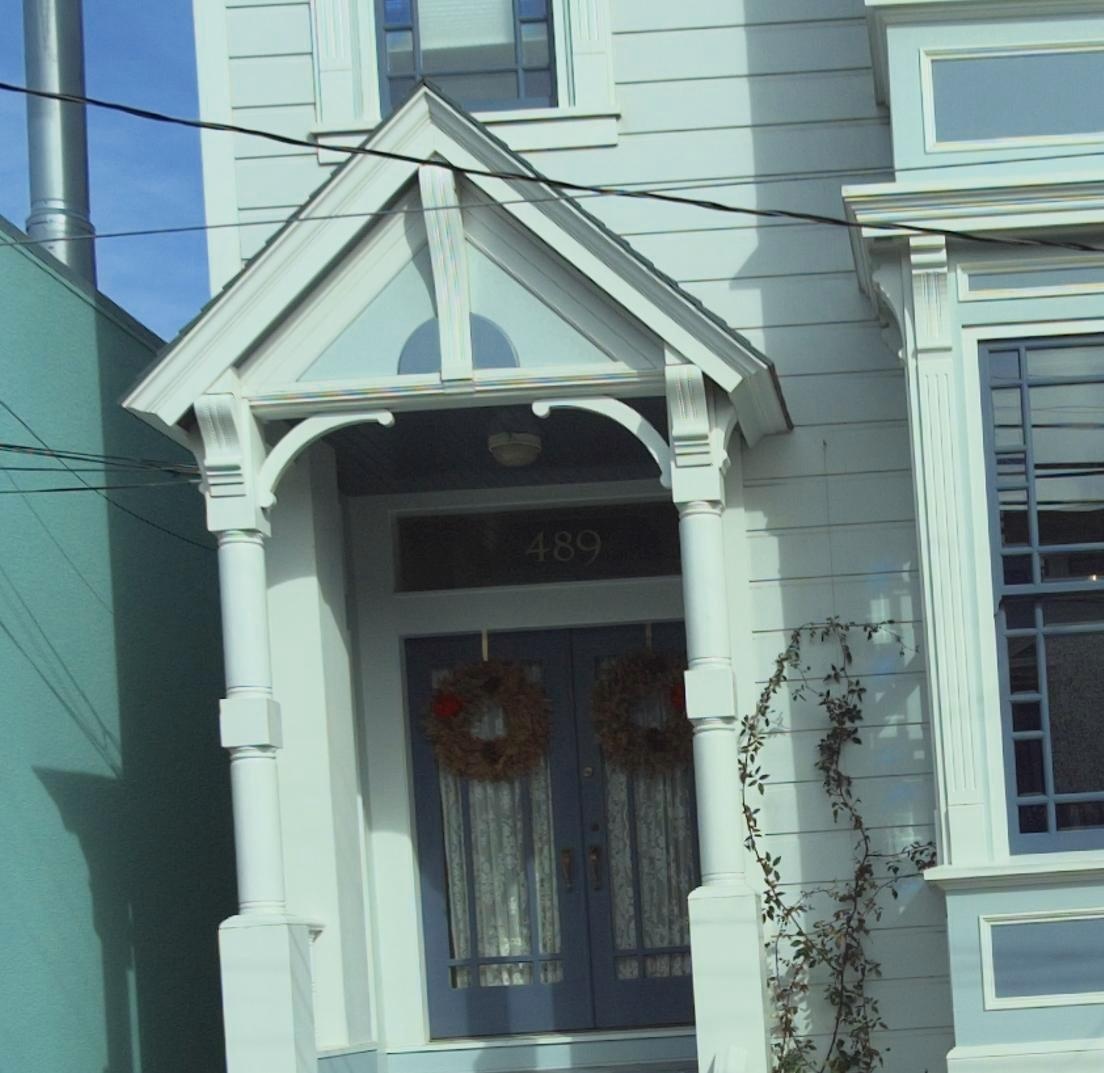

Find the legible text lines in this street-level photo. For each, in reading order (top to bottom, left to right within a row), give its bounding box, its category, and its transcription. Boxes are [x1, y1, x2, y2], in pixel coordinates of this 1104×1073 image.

[523, 528, 603, 566] StreetNumber: 489